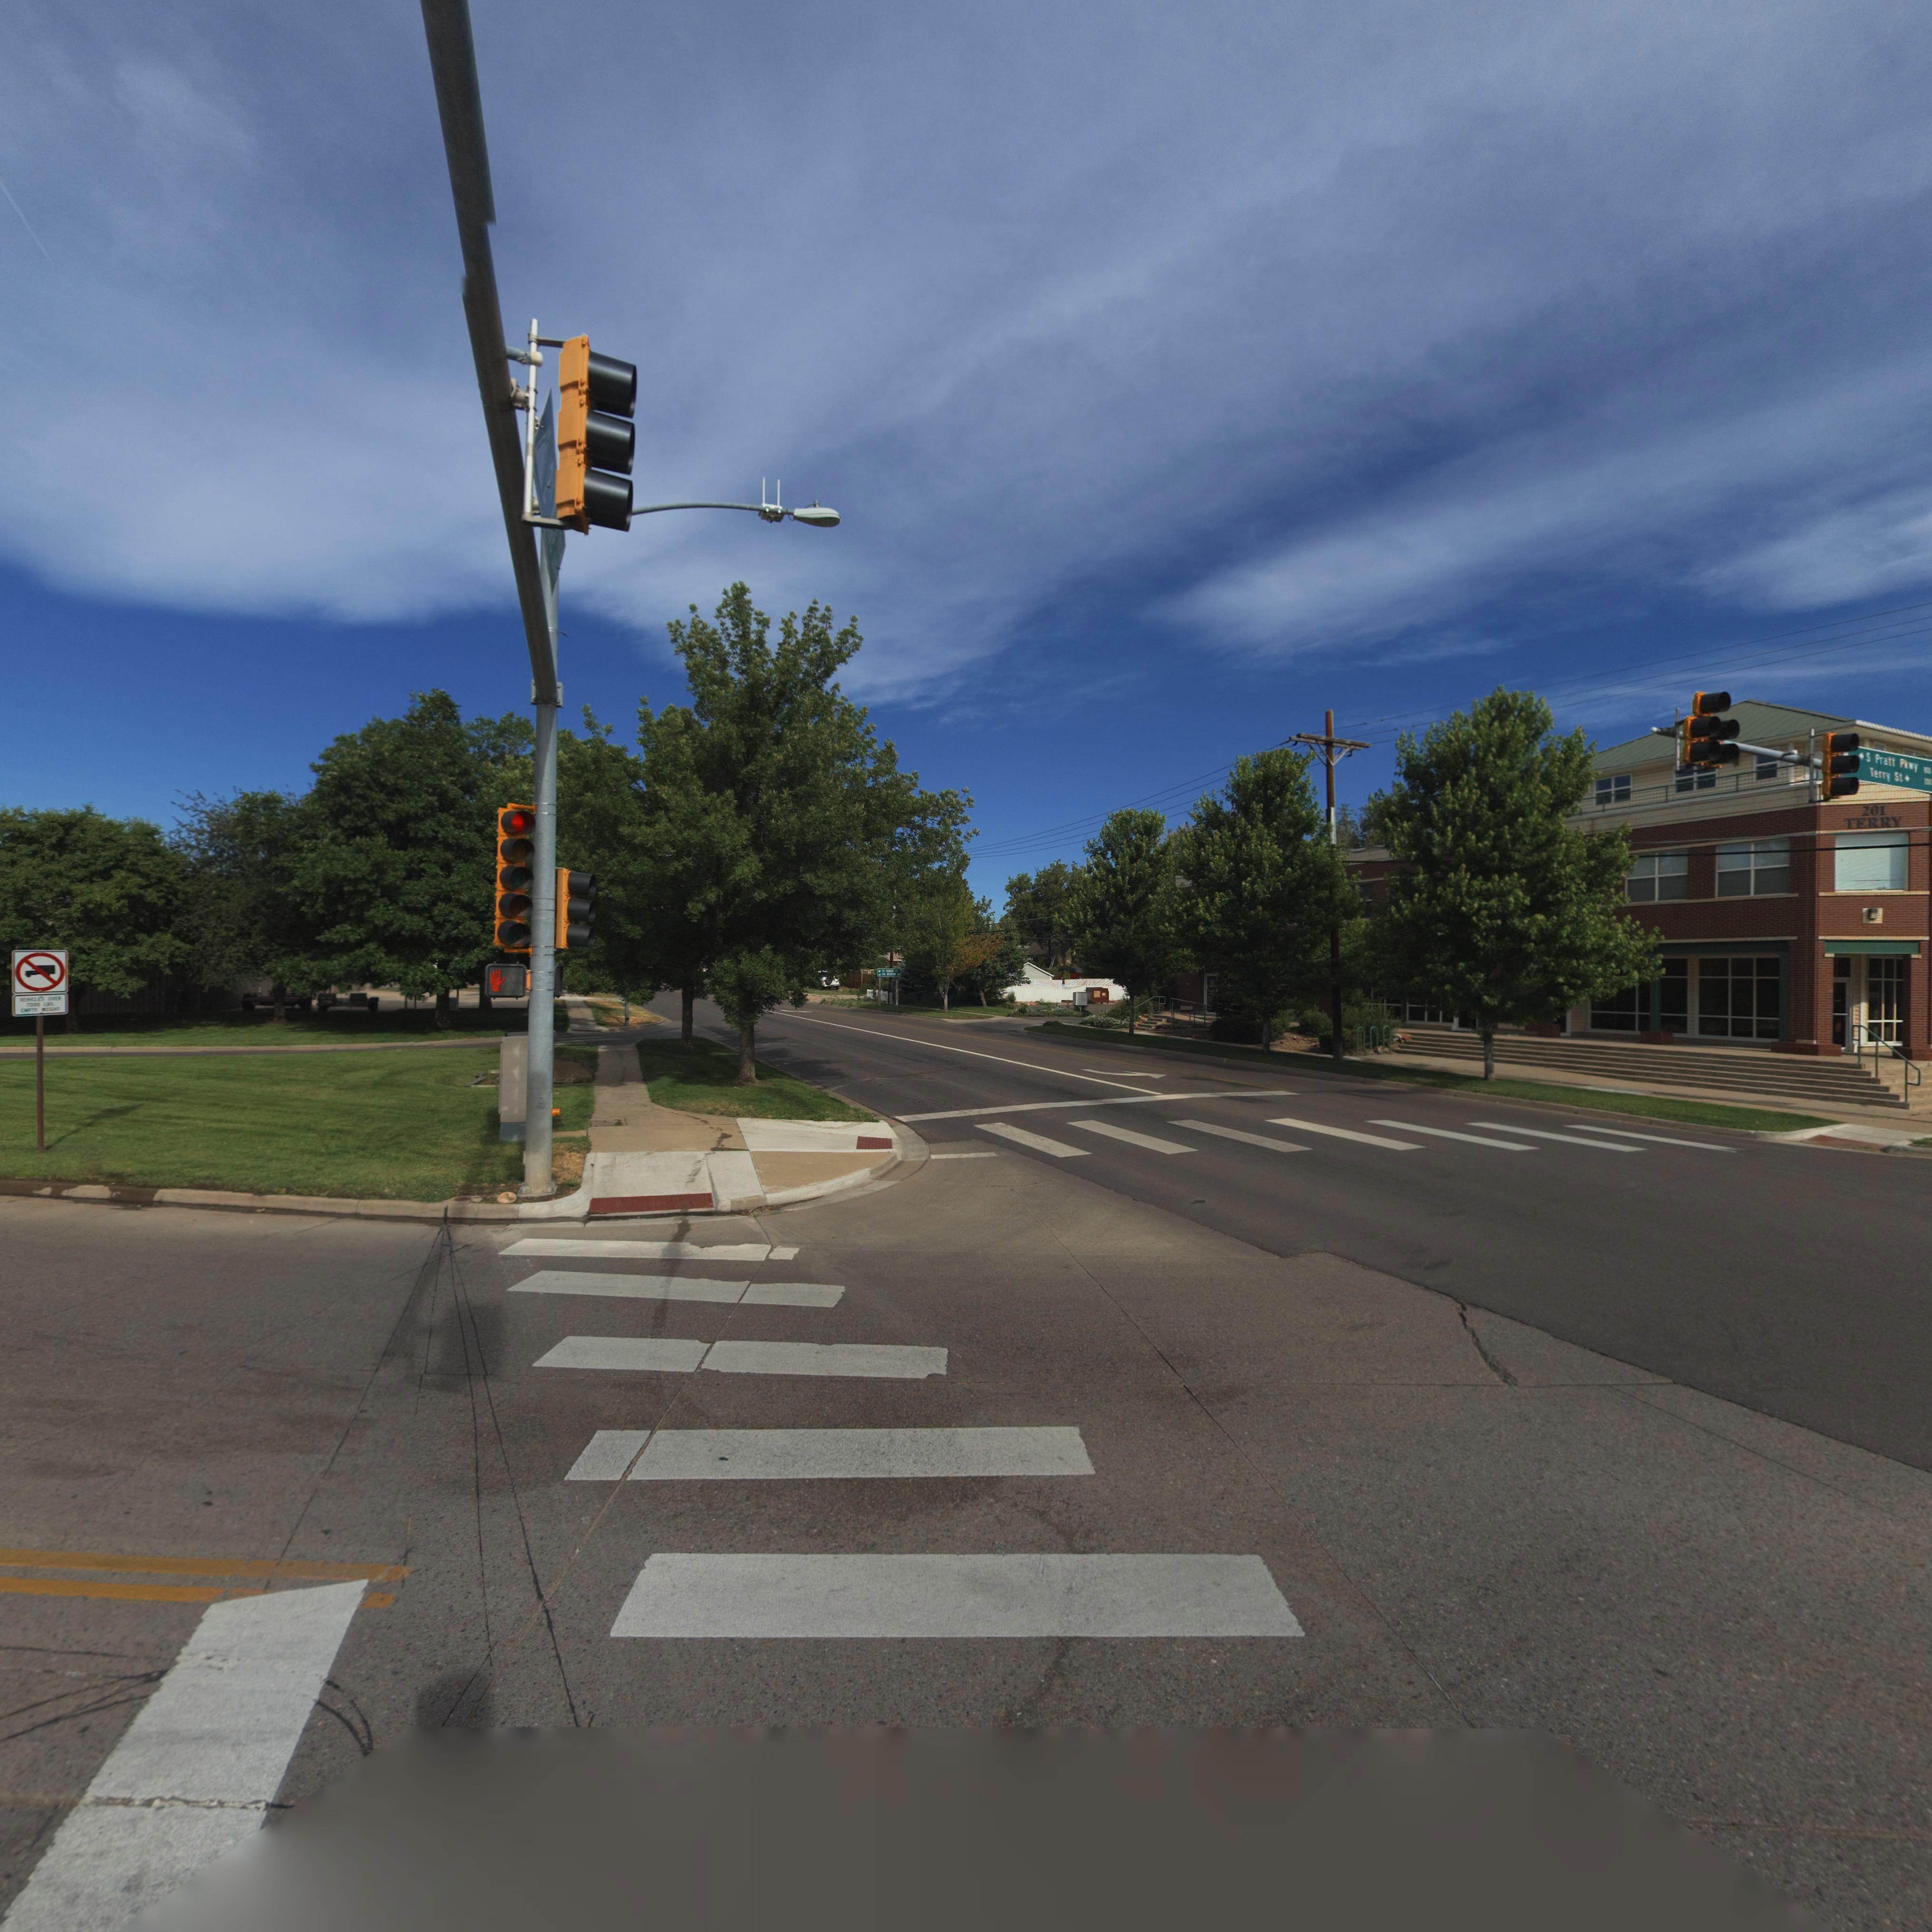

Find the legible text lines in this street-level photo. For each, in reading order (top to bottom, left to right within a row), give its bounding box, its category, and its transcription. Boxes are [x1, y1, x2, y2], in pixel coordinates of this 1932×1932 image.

[541, 461, 555, 506] StreetName: 2**
[1867, 766, 1903, 782] StreetName: Terry St
[1864, 752, 1918, 773] StreetName: S Pratt Pkwy
[1923, 766, 1931, 774] StreetNumberRange: **0
[1923, 777, 1931, 785] StreetNumberRange: 200
[1861, 805, 1886, 816] StreetNumber: 201
[1843, 814, 1903, 830] StreetName: TERRY